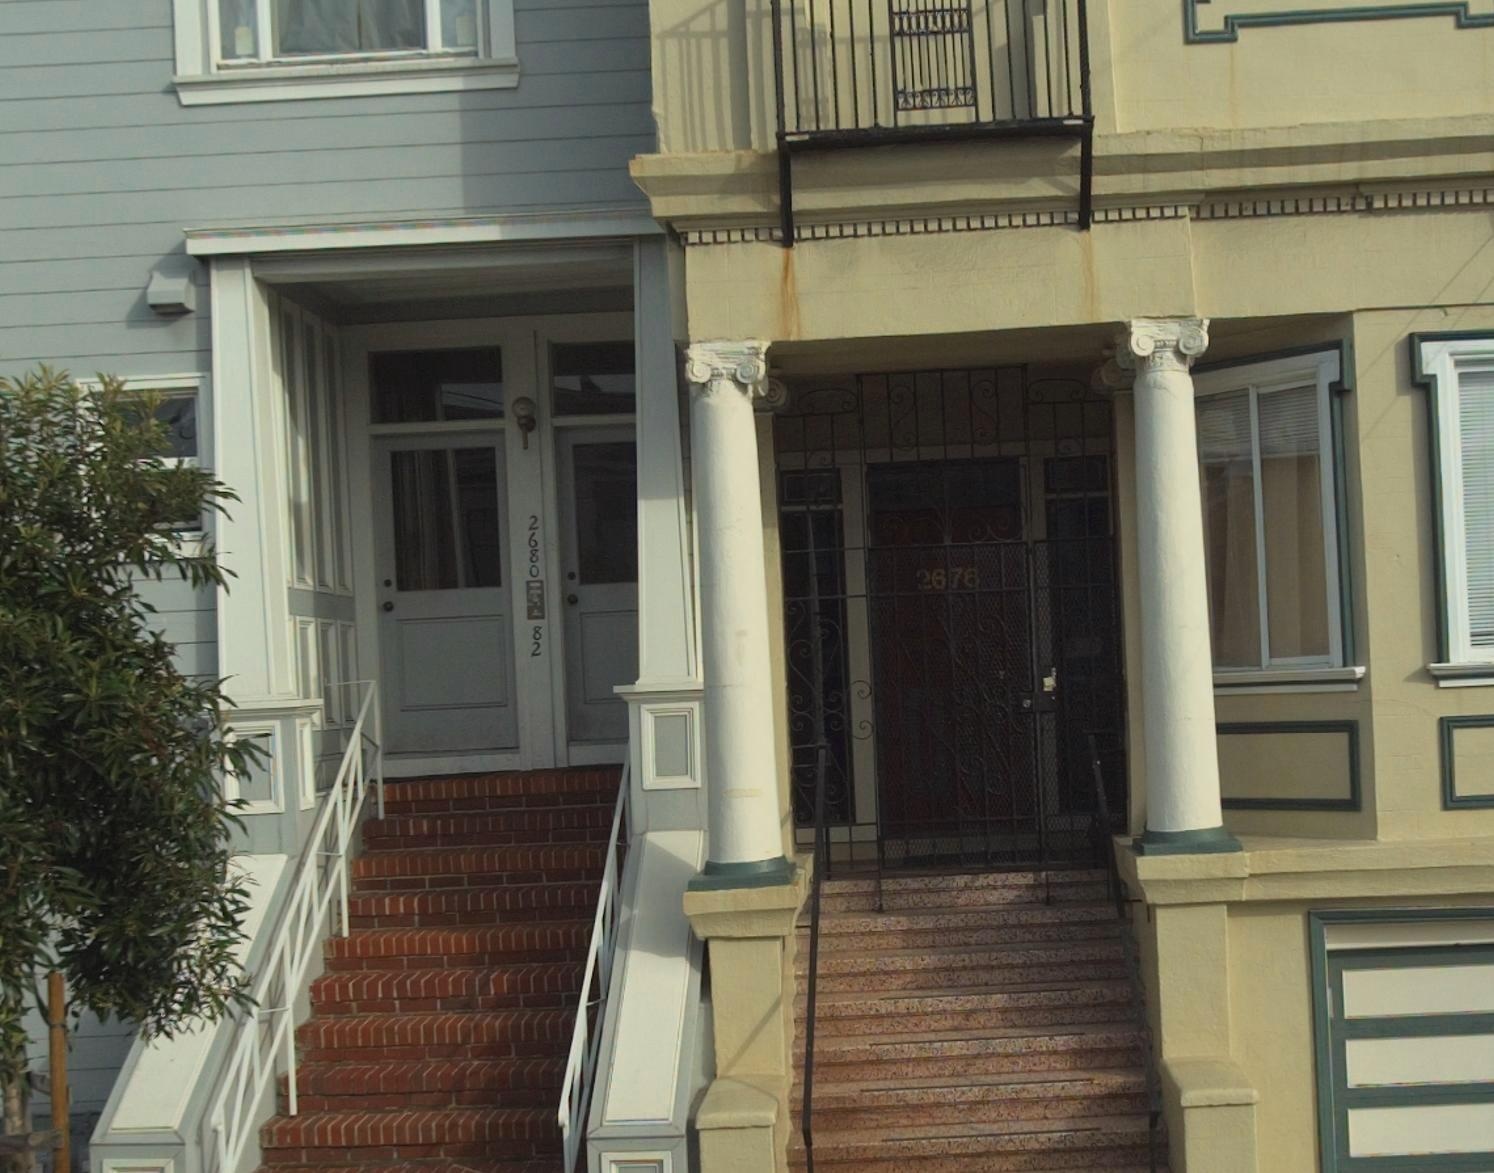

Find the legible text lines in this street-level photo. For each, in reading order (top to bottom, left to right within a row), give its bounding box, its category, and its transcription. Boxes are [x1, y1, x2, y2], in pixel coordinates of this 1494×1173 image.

[526, 512, 542, 581] StreetNumber: 2680
[913, 565, 983, 593] StreetNumber: 2676
[526, 621, 547, 662] StreetNumber: 82